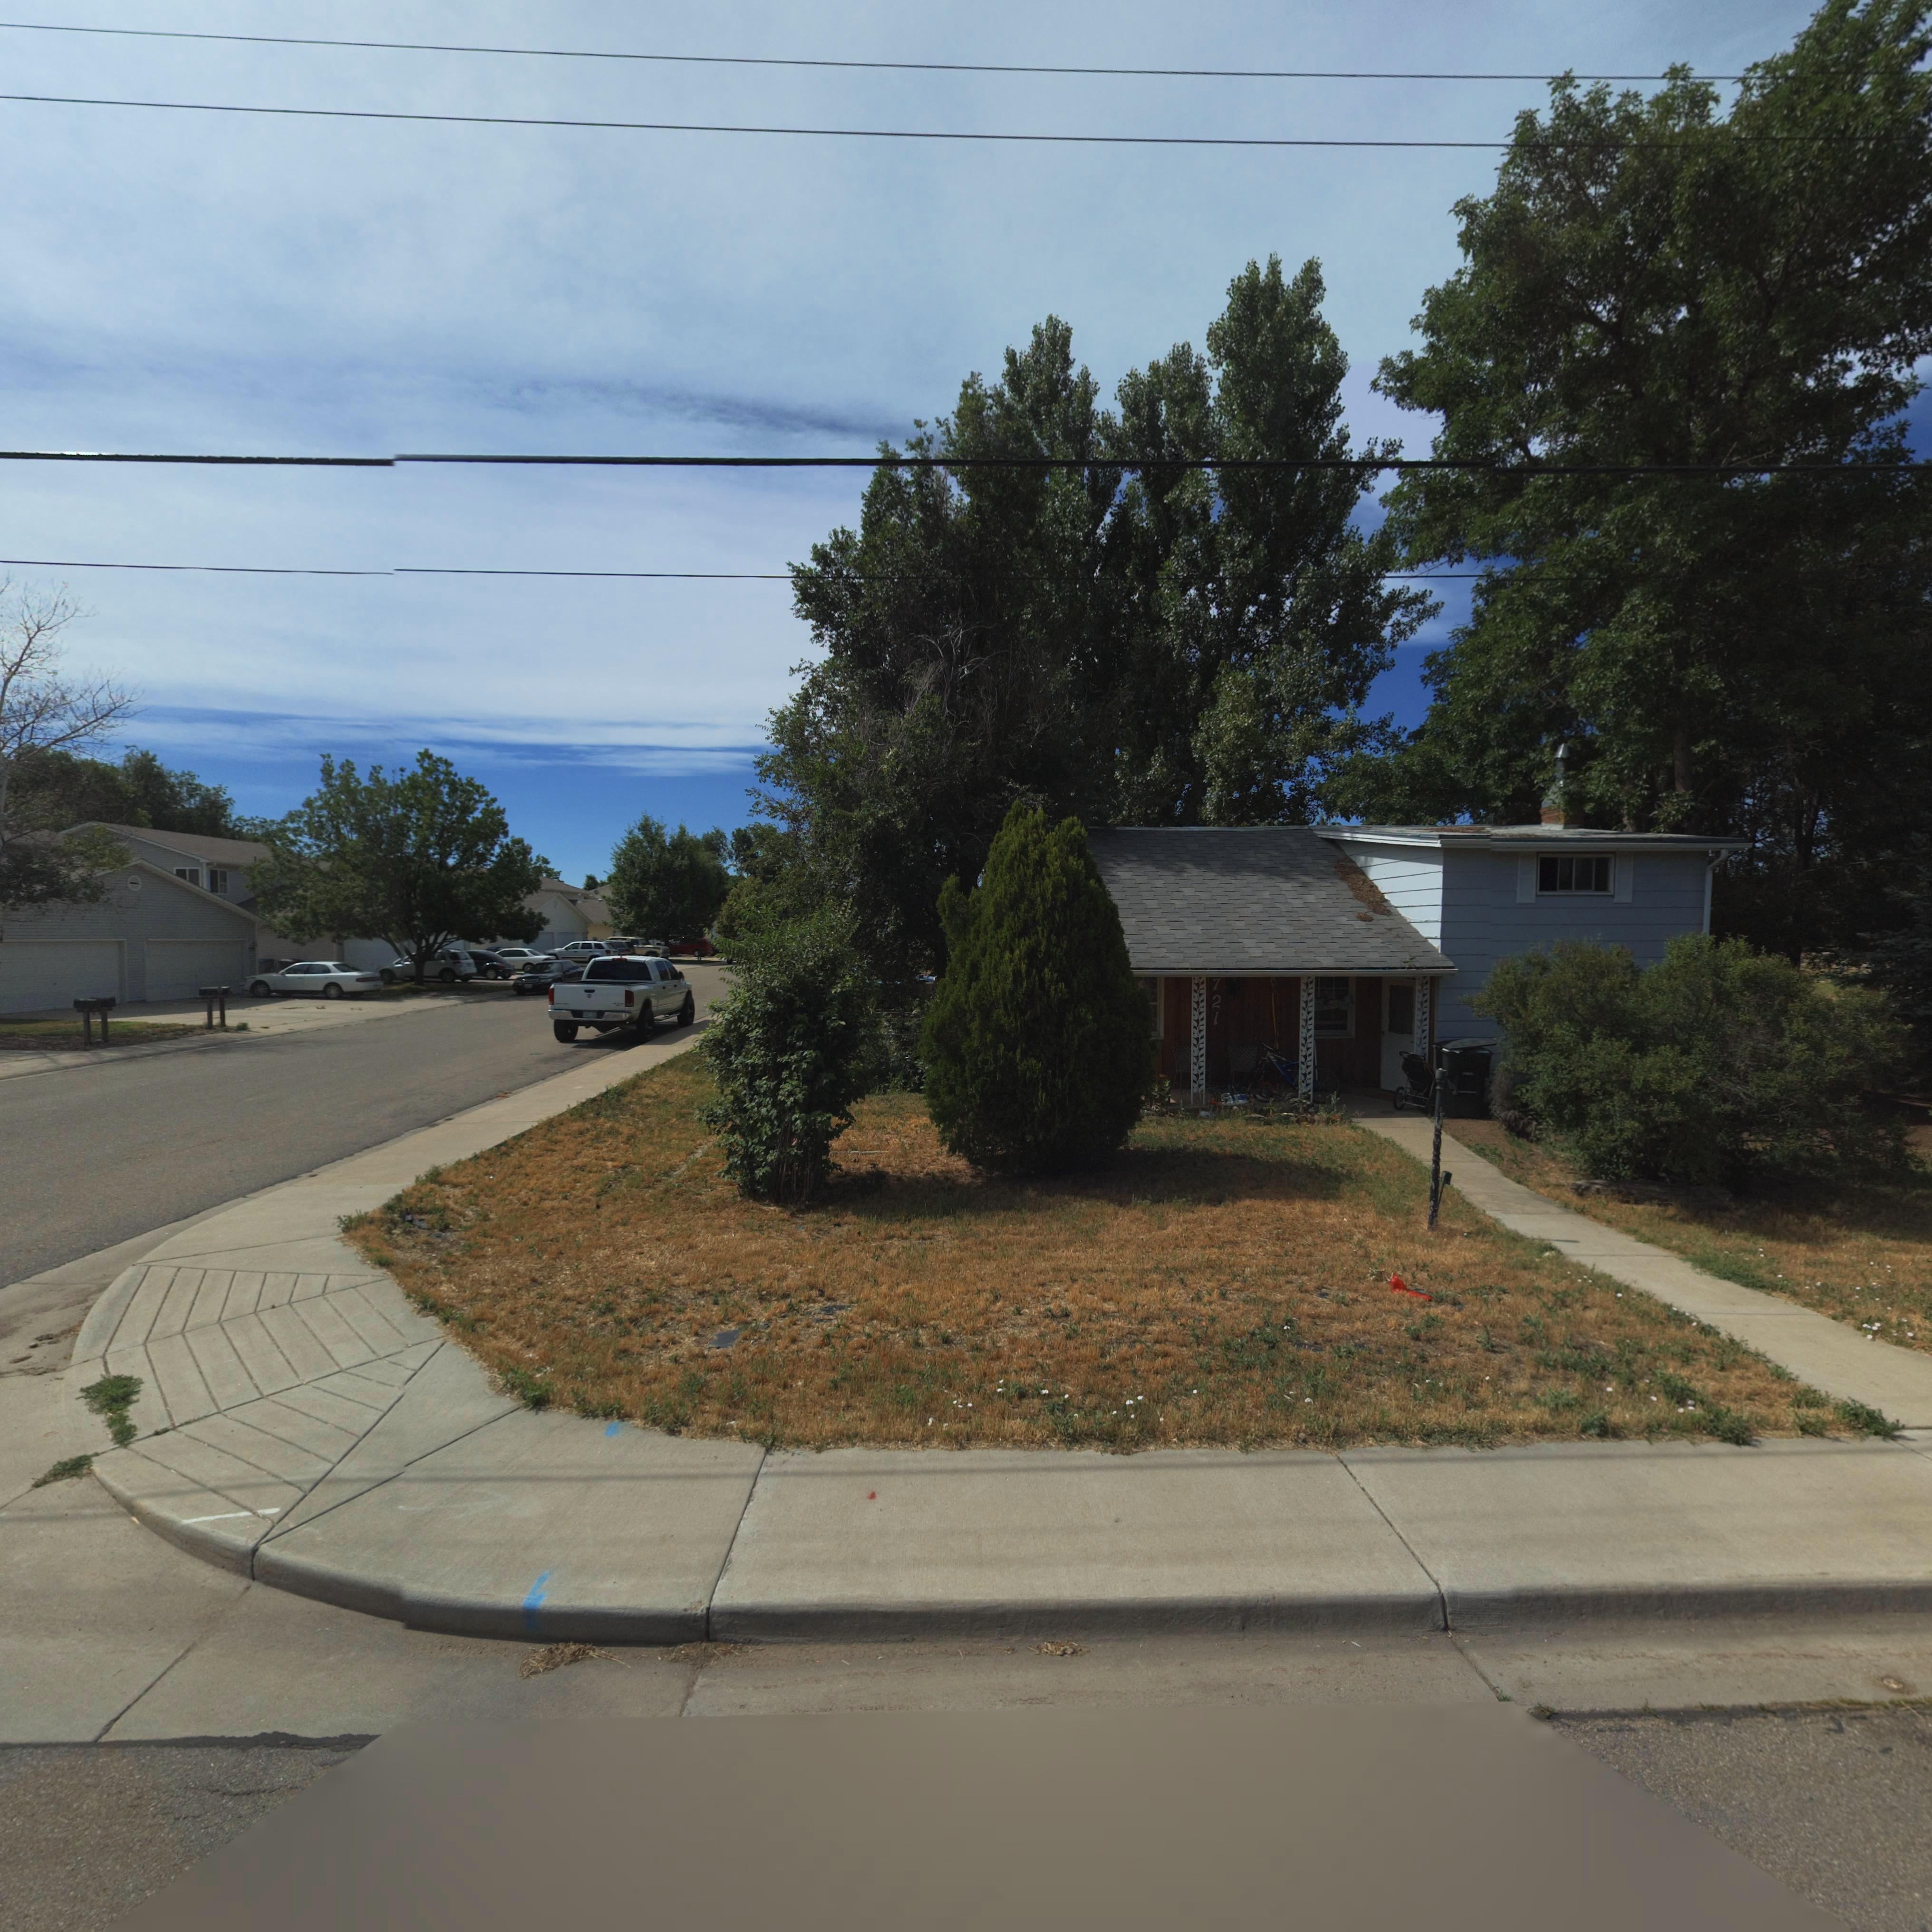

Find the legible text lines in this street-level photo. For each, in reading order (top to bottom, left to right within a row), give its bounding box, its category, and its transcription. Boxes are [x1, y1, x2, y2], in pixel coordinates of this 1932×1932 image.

[1210, 976, 1222, 1026] StreetNumber: 721